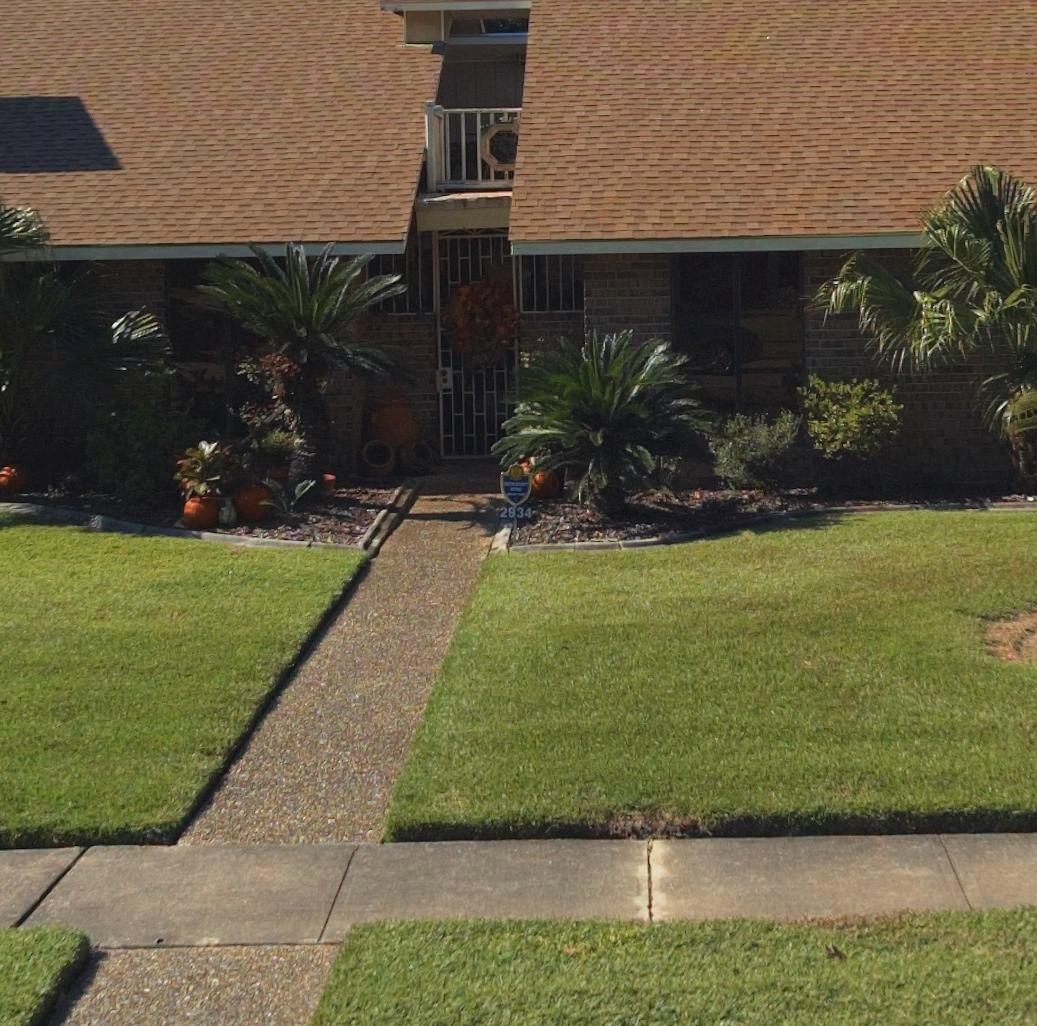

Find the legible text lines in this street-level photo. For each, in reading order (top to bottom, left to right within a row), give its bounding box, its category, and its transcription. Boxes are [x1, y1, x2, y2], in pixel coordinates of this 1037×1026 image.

[498, 505, 533, 520] StreetNumber: 2934